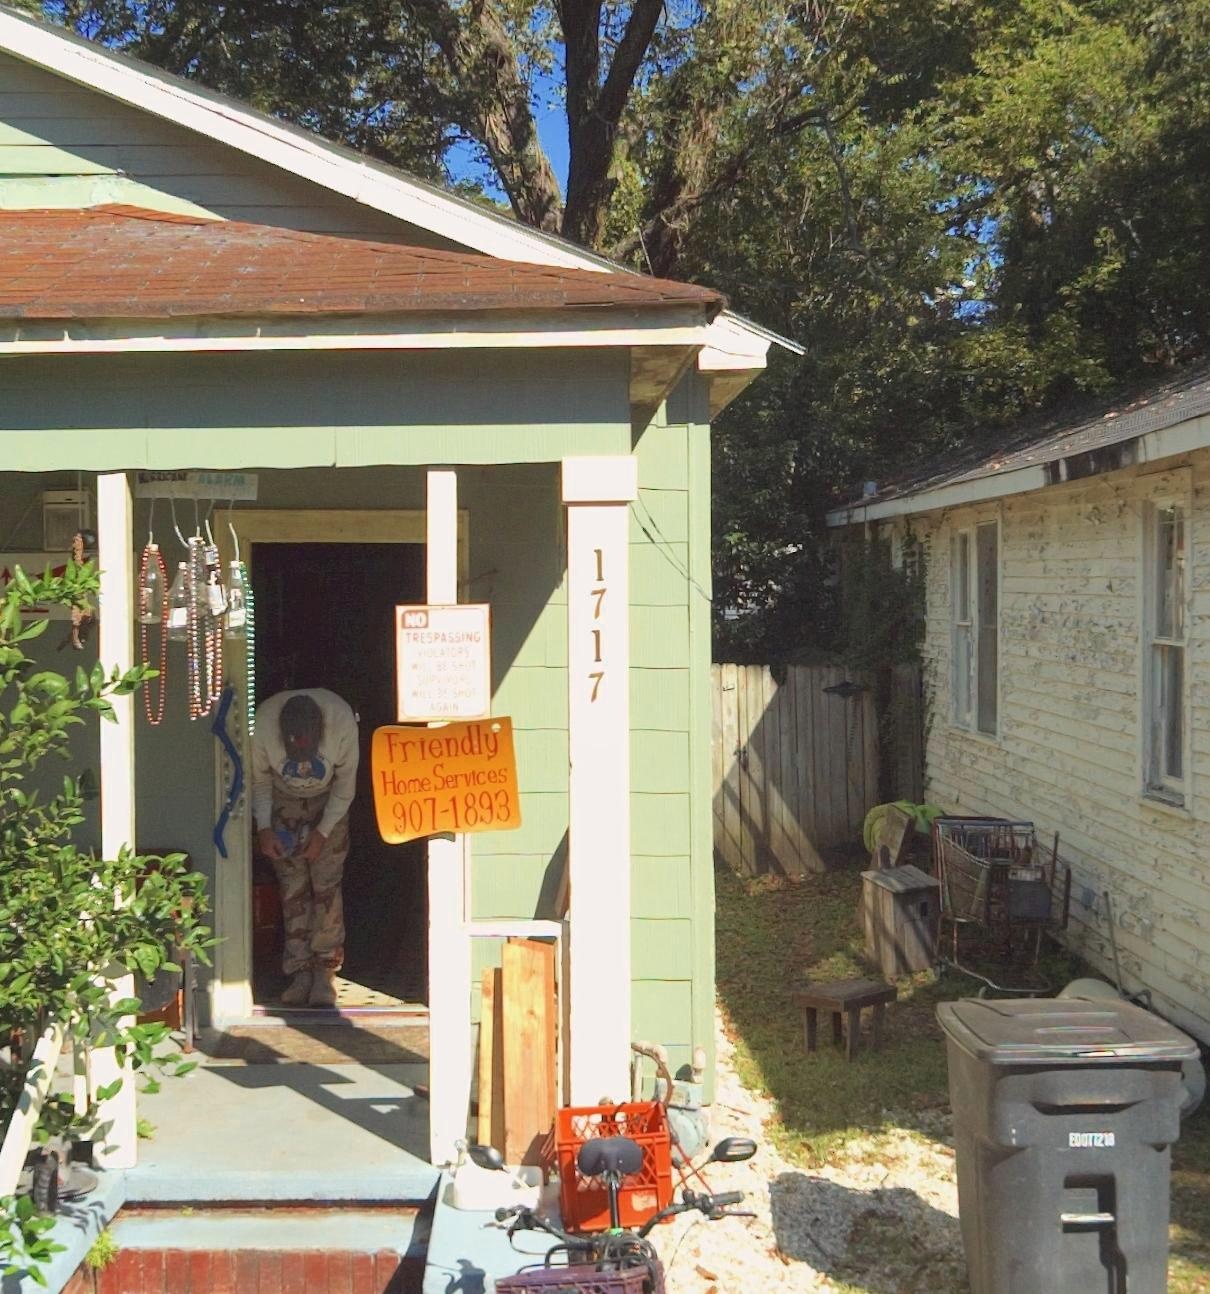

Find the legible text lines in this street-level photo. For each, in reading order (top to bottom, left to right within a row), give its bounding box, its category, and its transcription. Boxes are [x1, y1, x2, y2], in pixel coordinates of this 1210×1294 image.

[403, 610, 430, 631] None: NO
[401, 629, 484, 646] None: TRESPASSING
[585, 545, 609, 706] StreetNumber: 1717
[380, 720, 501, 767] None: Friendly
[377, 762, 511, 801] None: Home Services
[390, 786, 515, 839] None: 907-1893